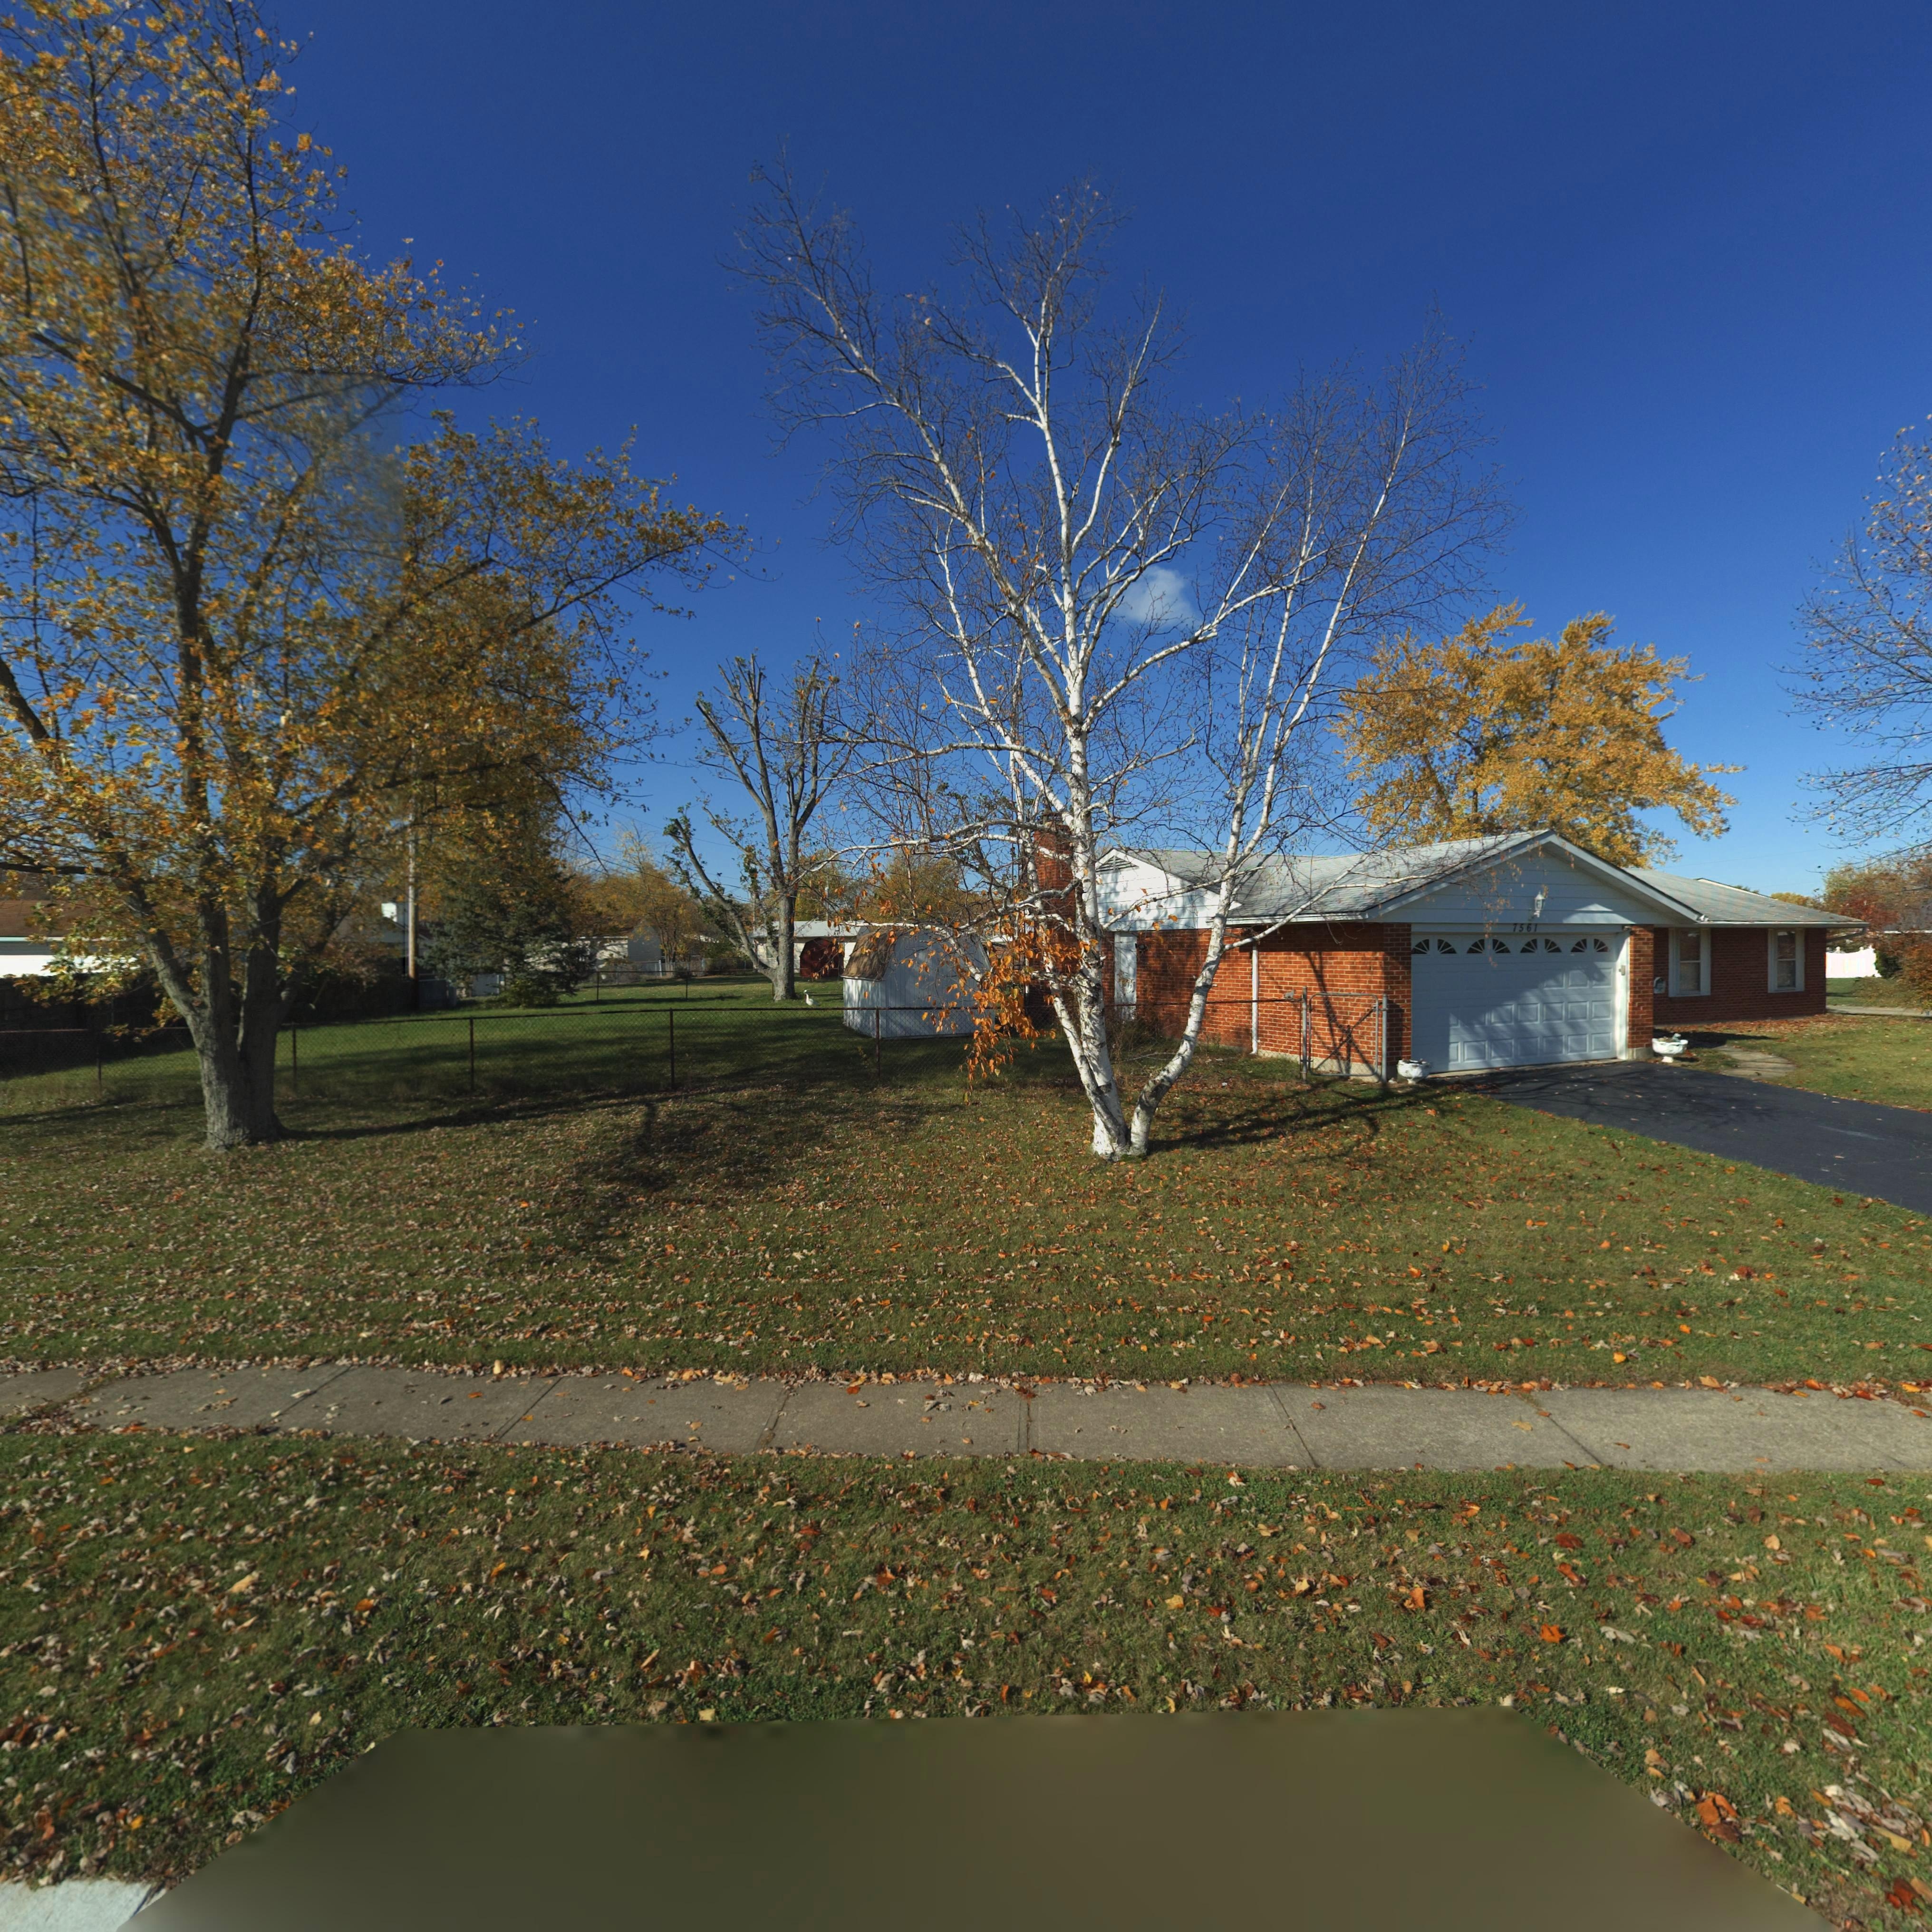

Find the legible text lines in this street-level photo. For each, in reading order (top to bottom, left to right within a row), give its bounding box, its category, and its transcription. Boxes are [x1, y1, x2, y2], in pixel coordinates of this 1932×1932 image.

[1513, 923, 1538, 933] StreetNumber: 7561